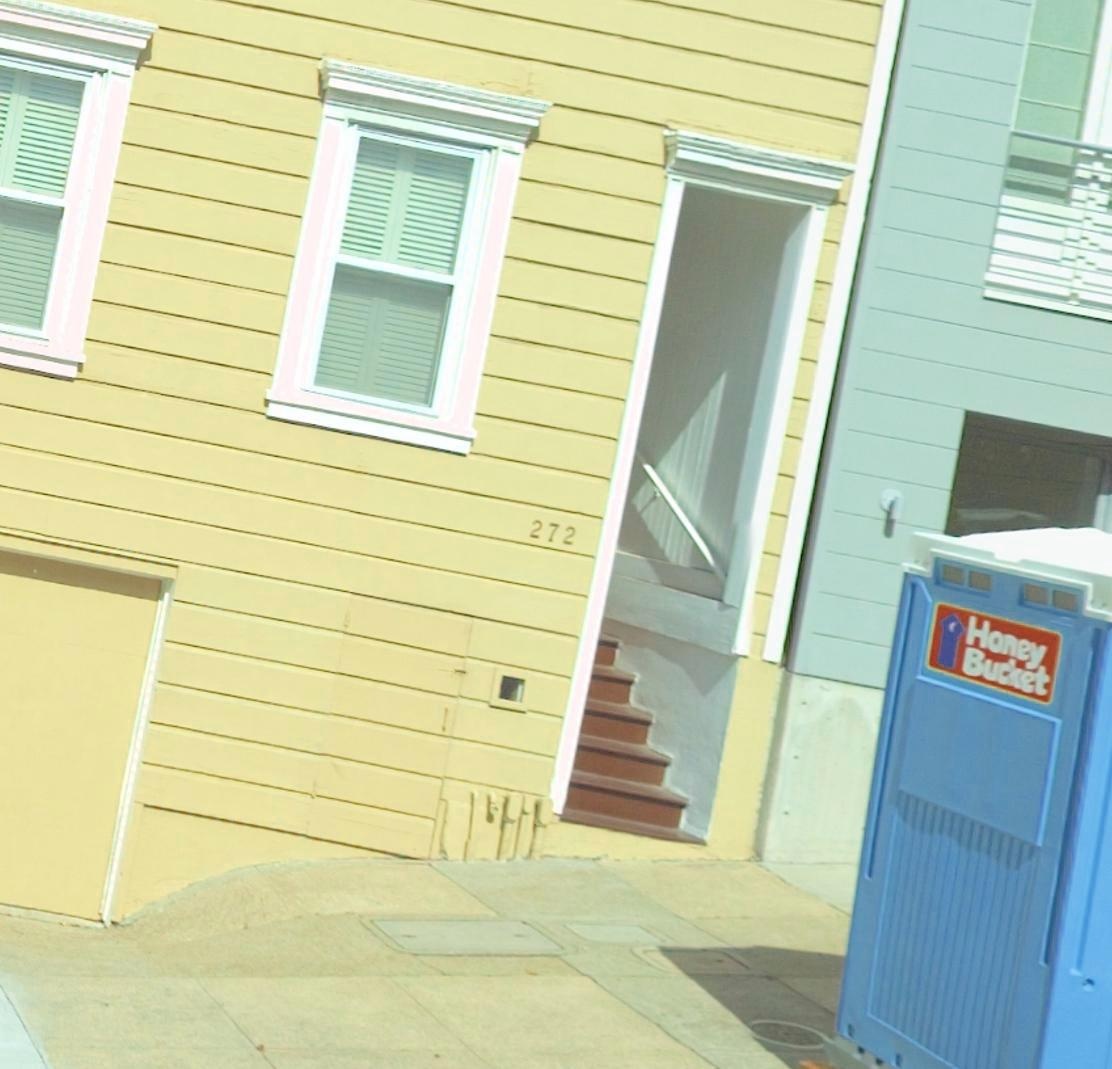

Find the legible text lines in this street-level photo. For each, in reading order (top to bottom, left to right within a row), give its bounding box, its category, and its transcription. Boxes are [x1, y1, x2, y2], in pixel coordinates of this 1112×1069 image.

[525, 518, 579, 548] StreetNumber: 272
[964, 614, 1051, 671] None: Honey
[961, 644, 1051, 699] None: Bucket